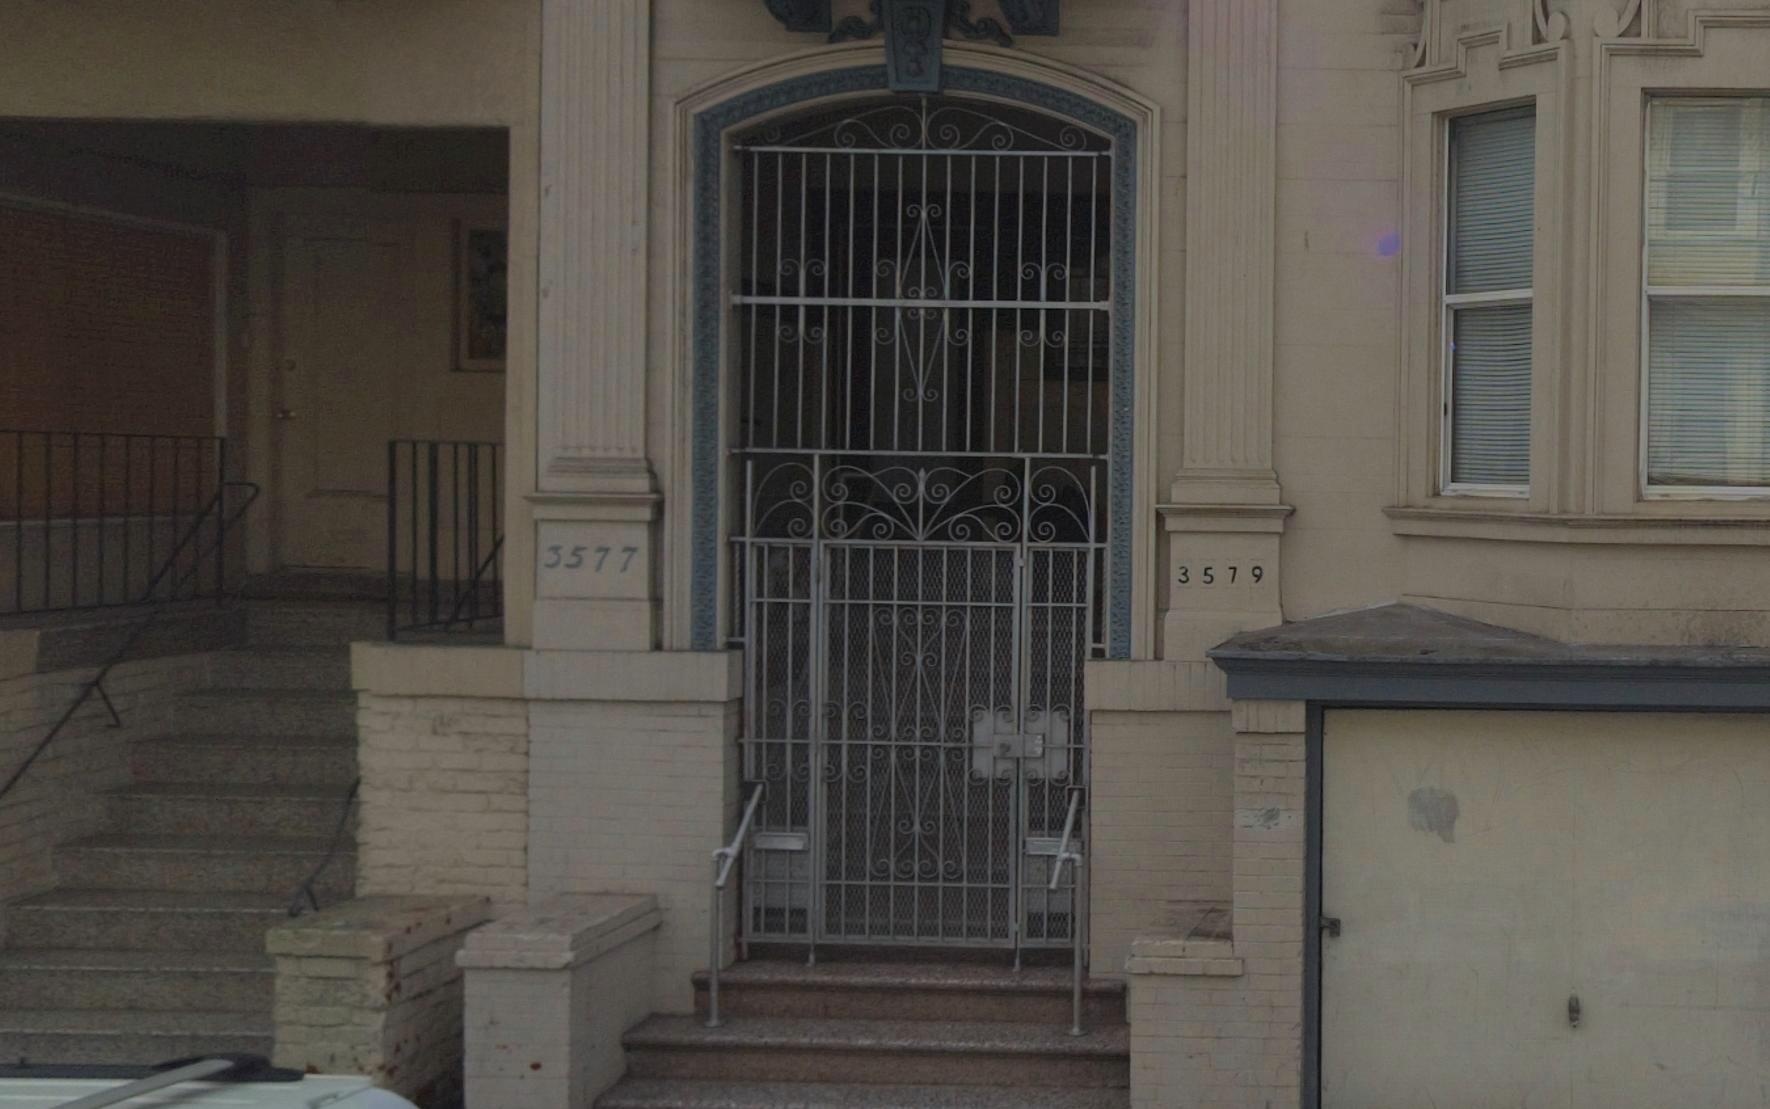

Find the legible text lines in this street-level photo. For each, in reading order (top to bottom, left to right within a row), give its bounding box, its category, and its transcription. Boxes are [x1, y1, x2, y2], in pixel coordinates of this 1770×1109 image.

[541, 543, 642, 575] StreetNumber: 3577
[1175, 564, 1266, 586] StreetNumber: 3579